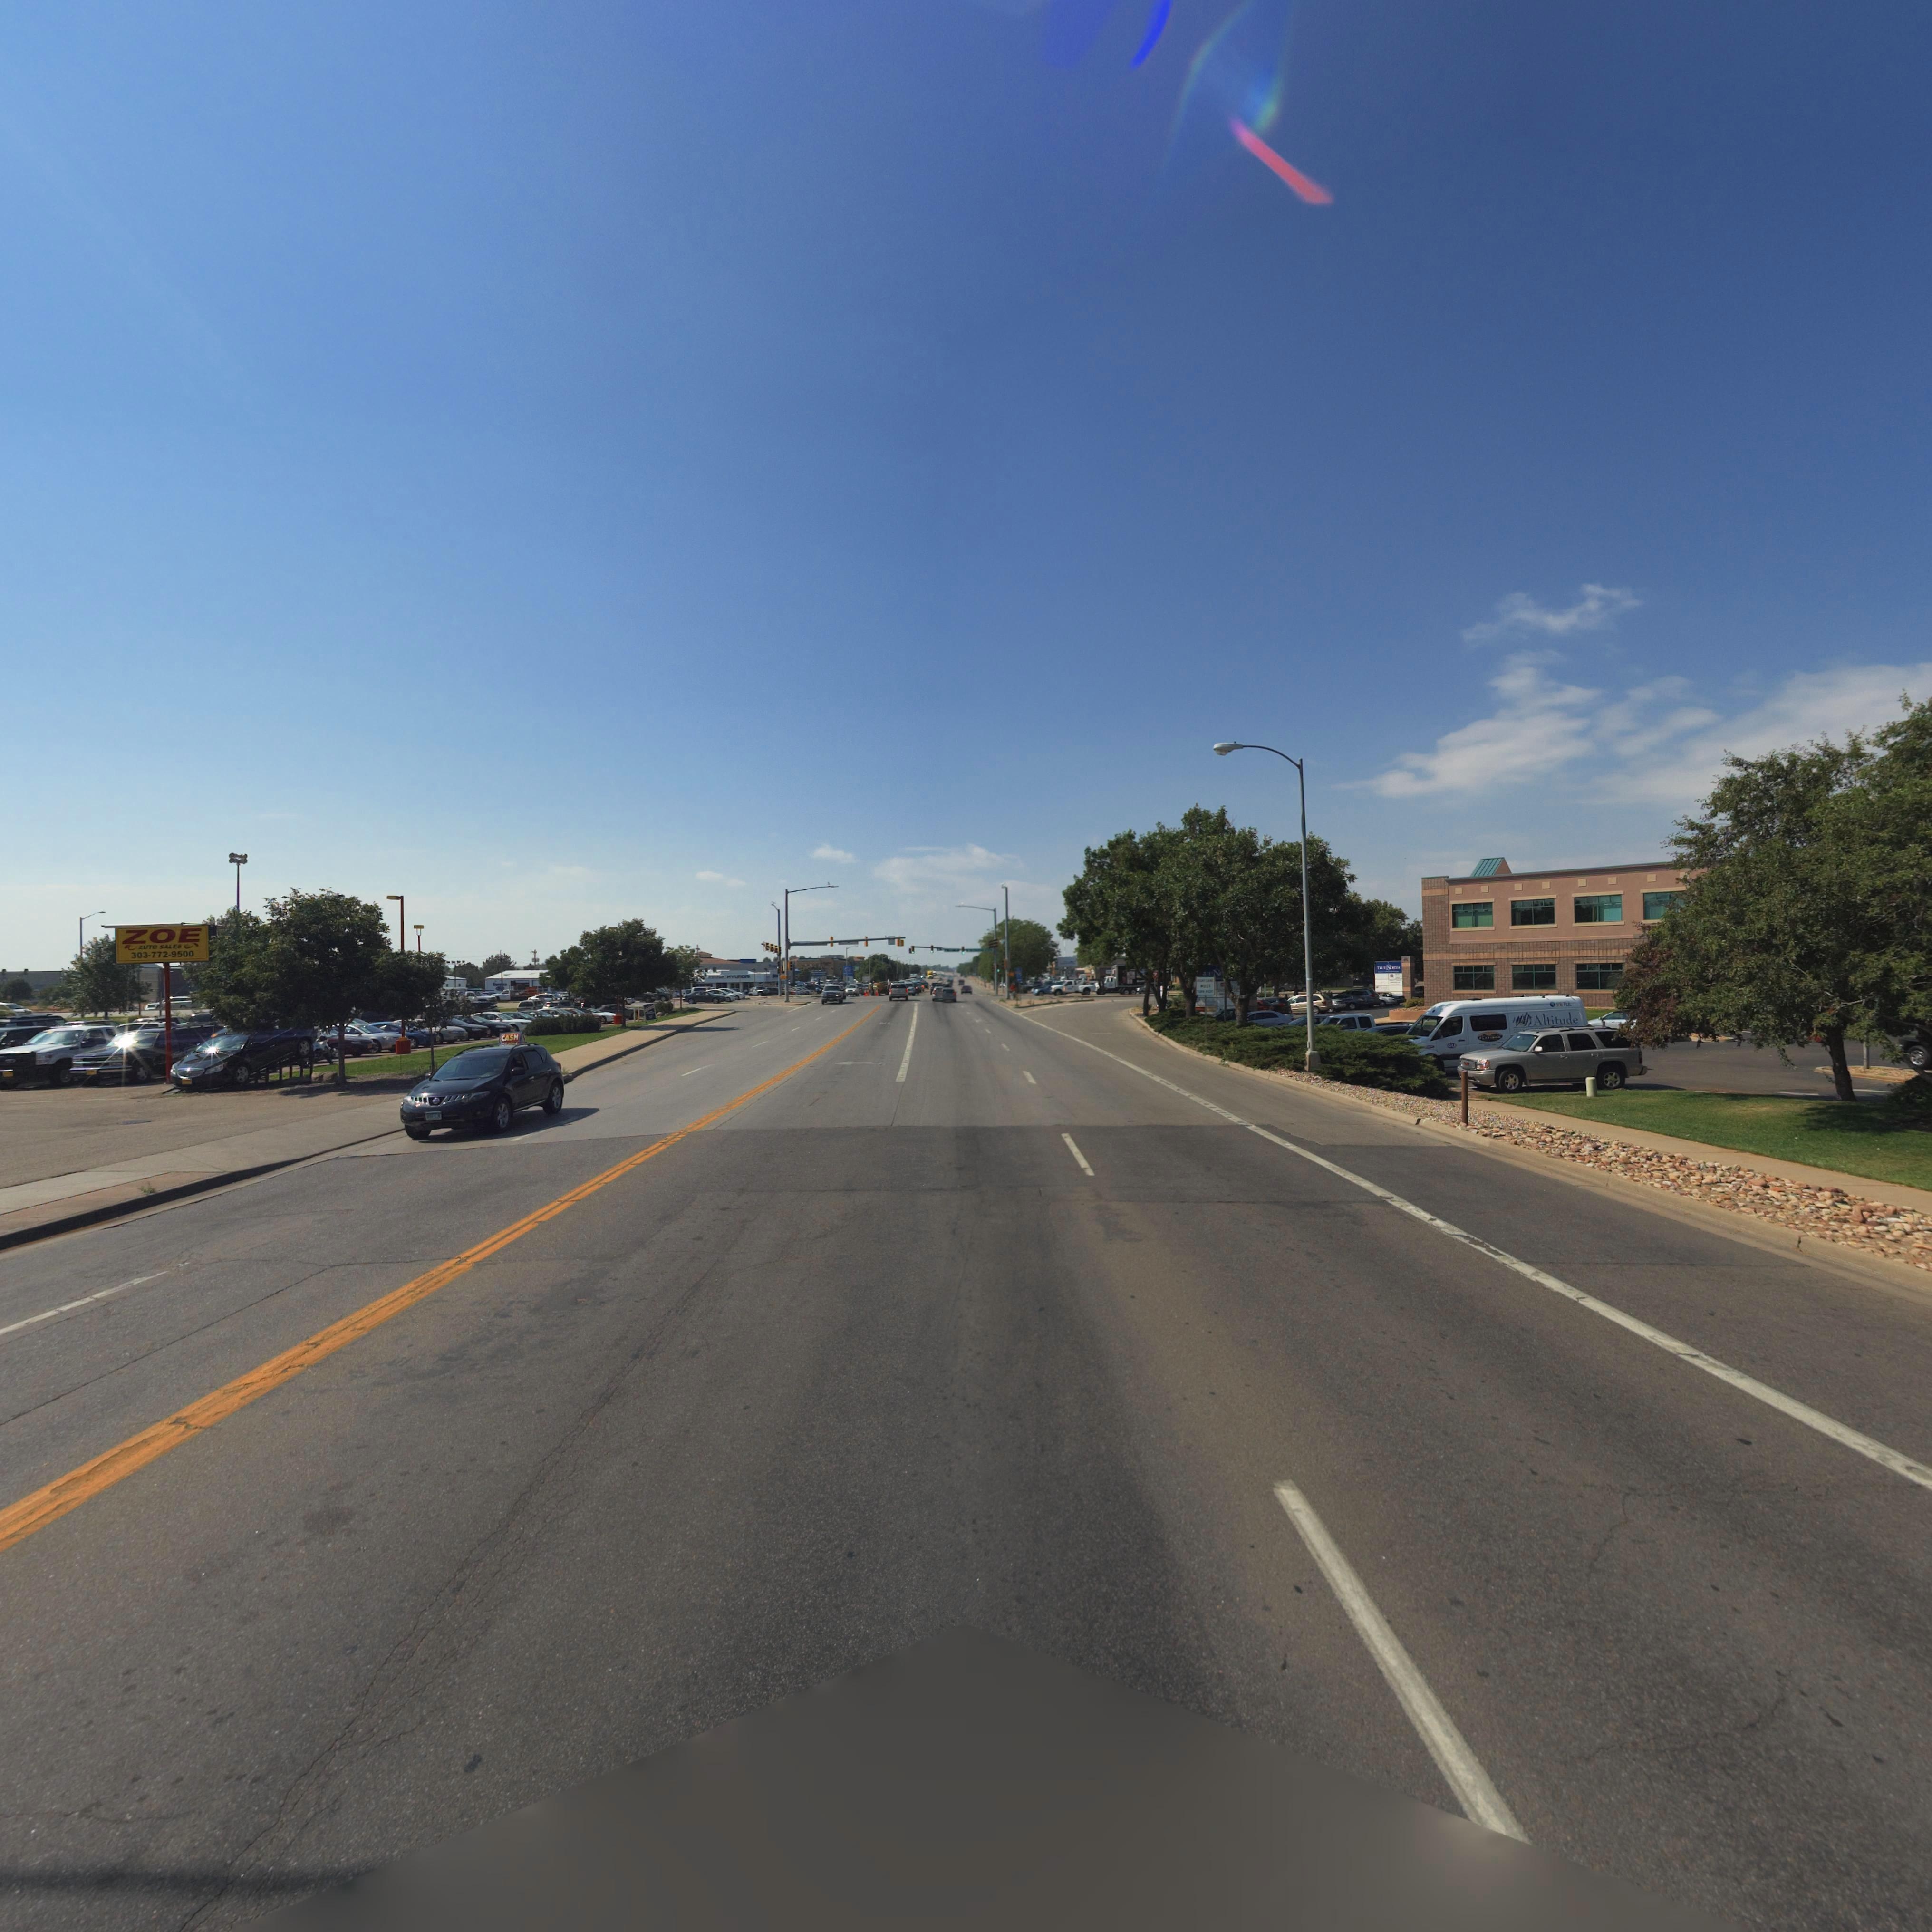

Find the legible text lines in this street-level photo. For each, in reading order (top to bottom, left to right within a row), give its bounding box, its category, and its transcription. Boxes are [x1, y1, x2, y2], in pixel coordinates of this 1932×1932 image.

[122, 927, 202, 944] BusinessName: ZOE
[138, 944, 182, 950] BusinessName: AUTO SALES
[1376, 965, 1400, 970] BusinessName: TRUENORTH
[1202, 969, 1220, 976] BusinessName: UEN
[727, 974, 750, 978] BusinessName: HYUNDAI